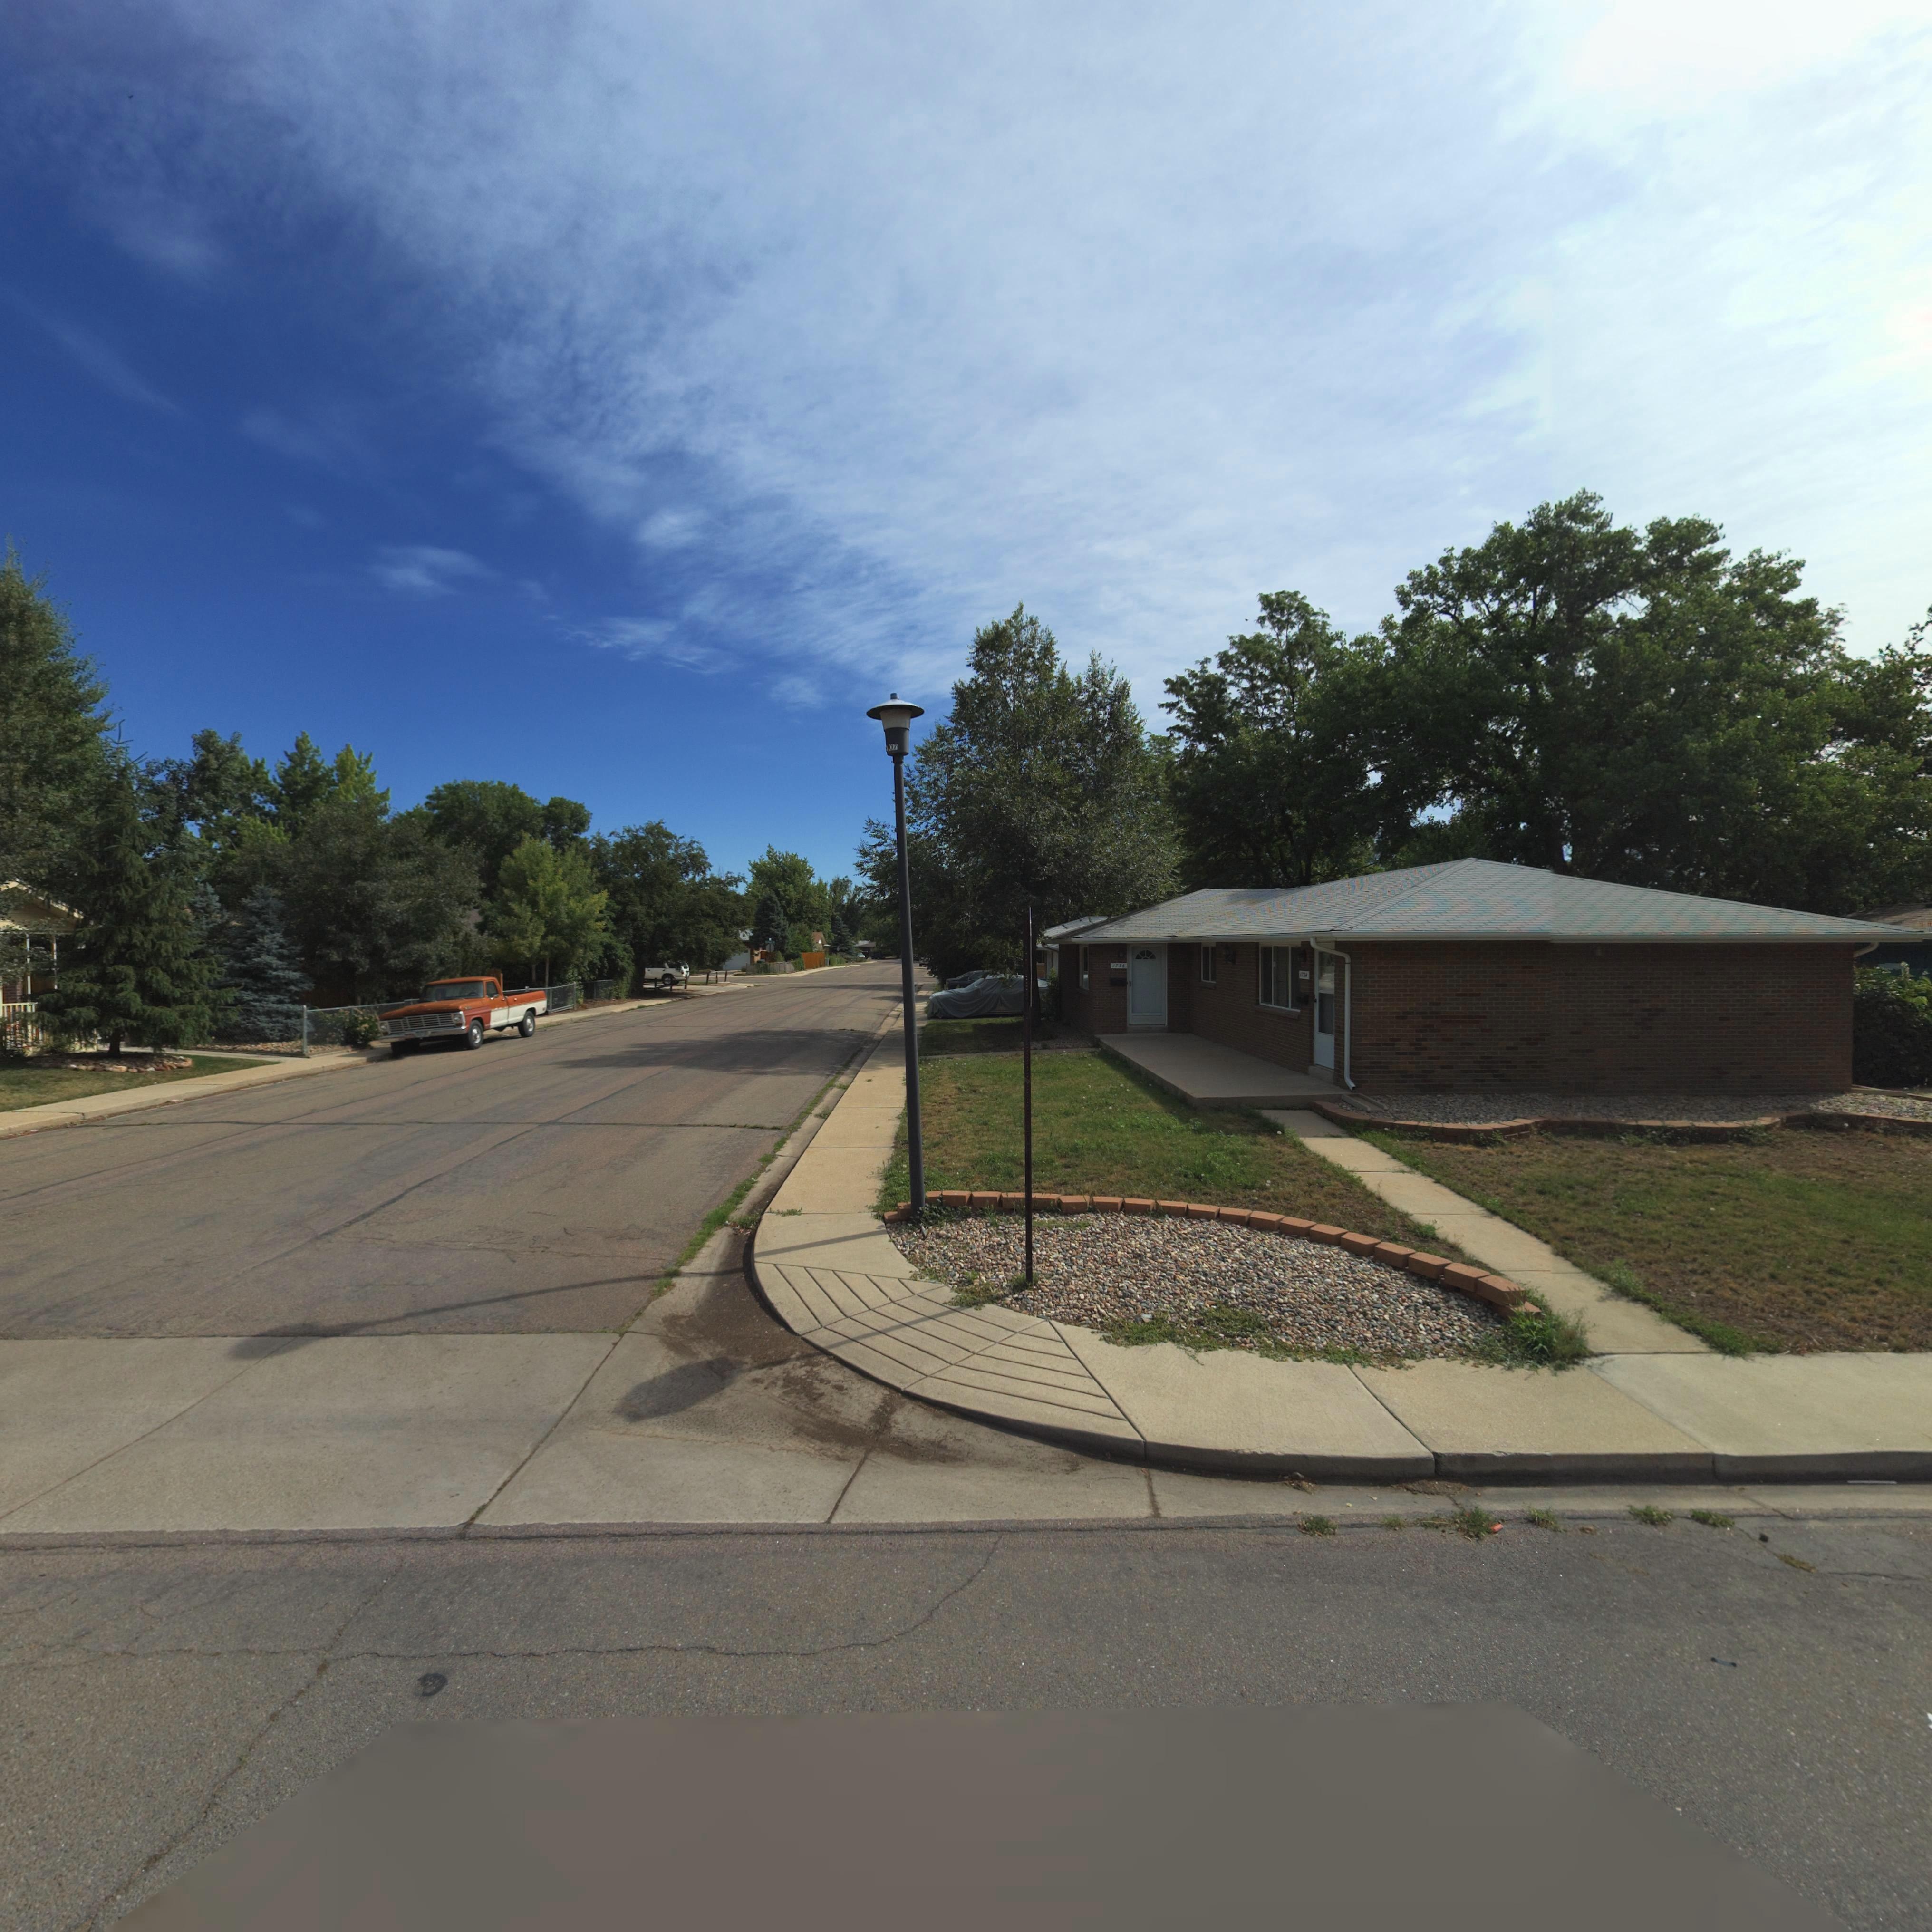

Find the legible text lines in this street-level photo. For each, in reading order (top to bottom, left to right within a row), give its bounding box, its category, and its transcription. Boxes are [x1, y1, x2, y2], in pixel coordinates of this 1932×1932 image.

[1111, 963, 1125, 967] StreetNumber: 1736
[1300, 971, 1307, 977] StreetNumber: 1*3*